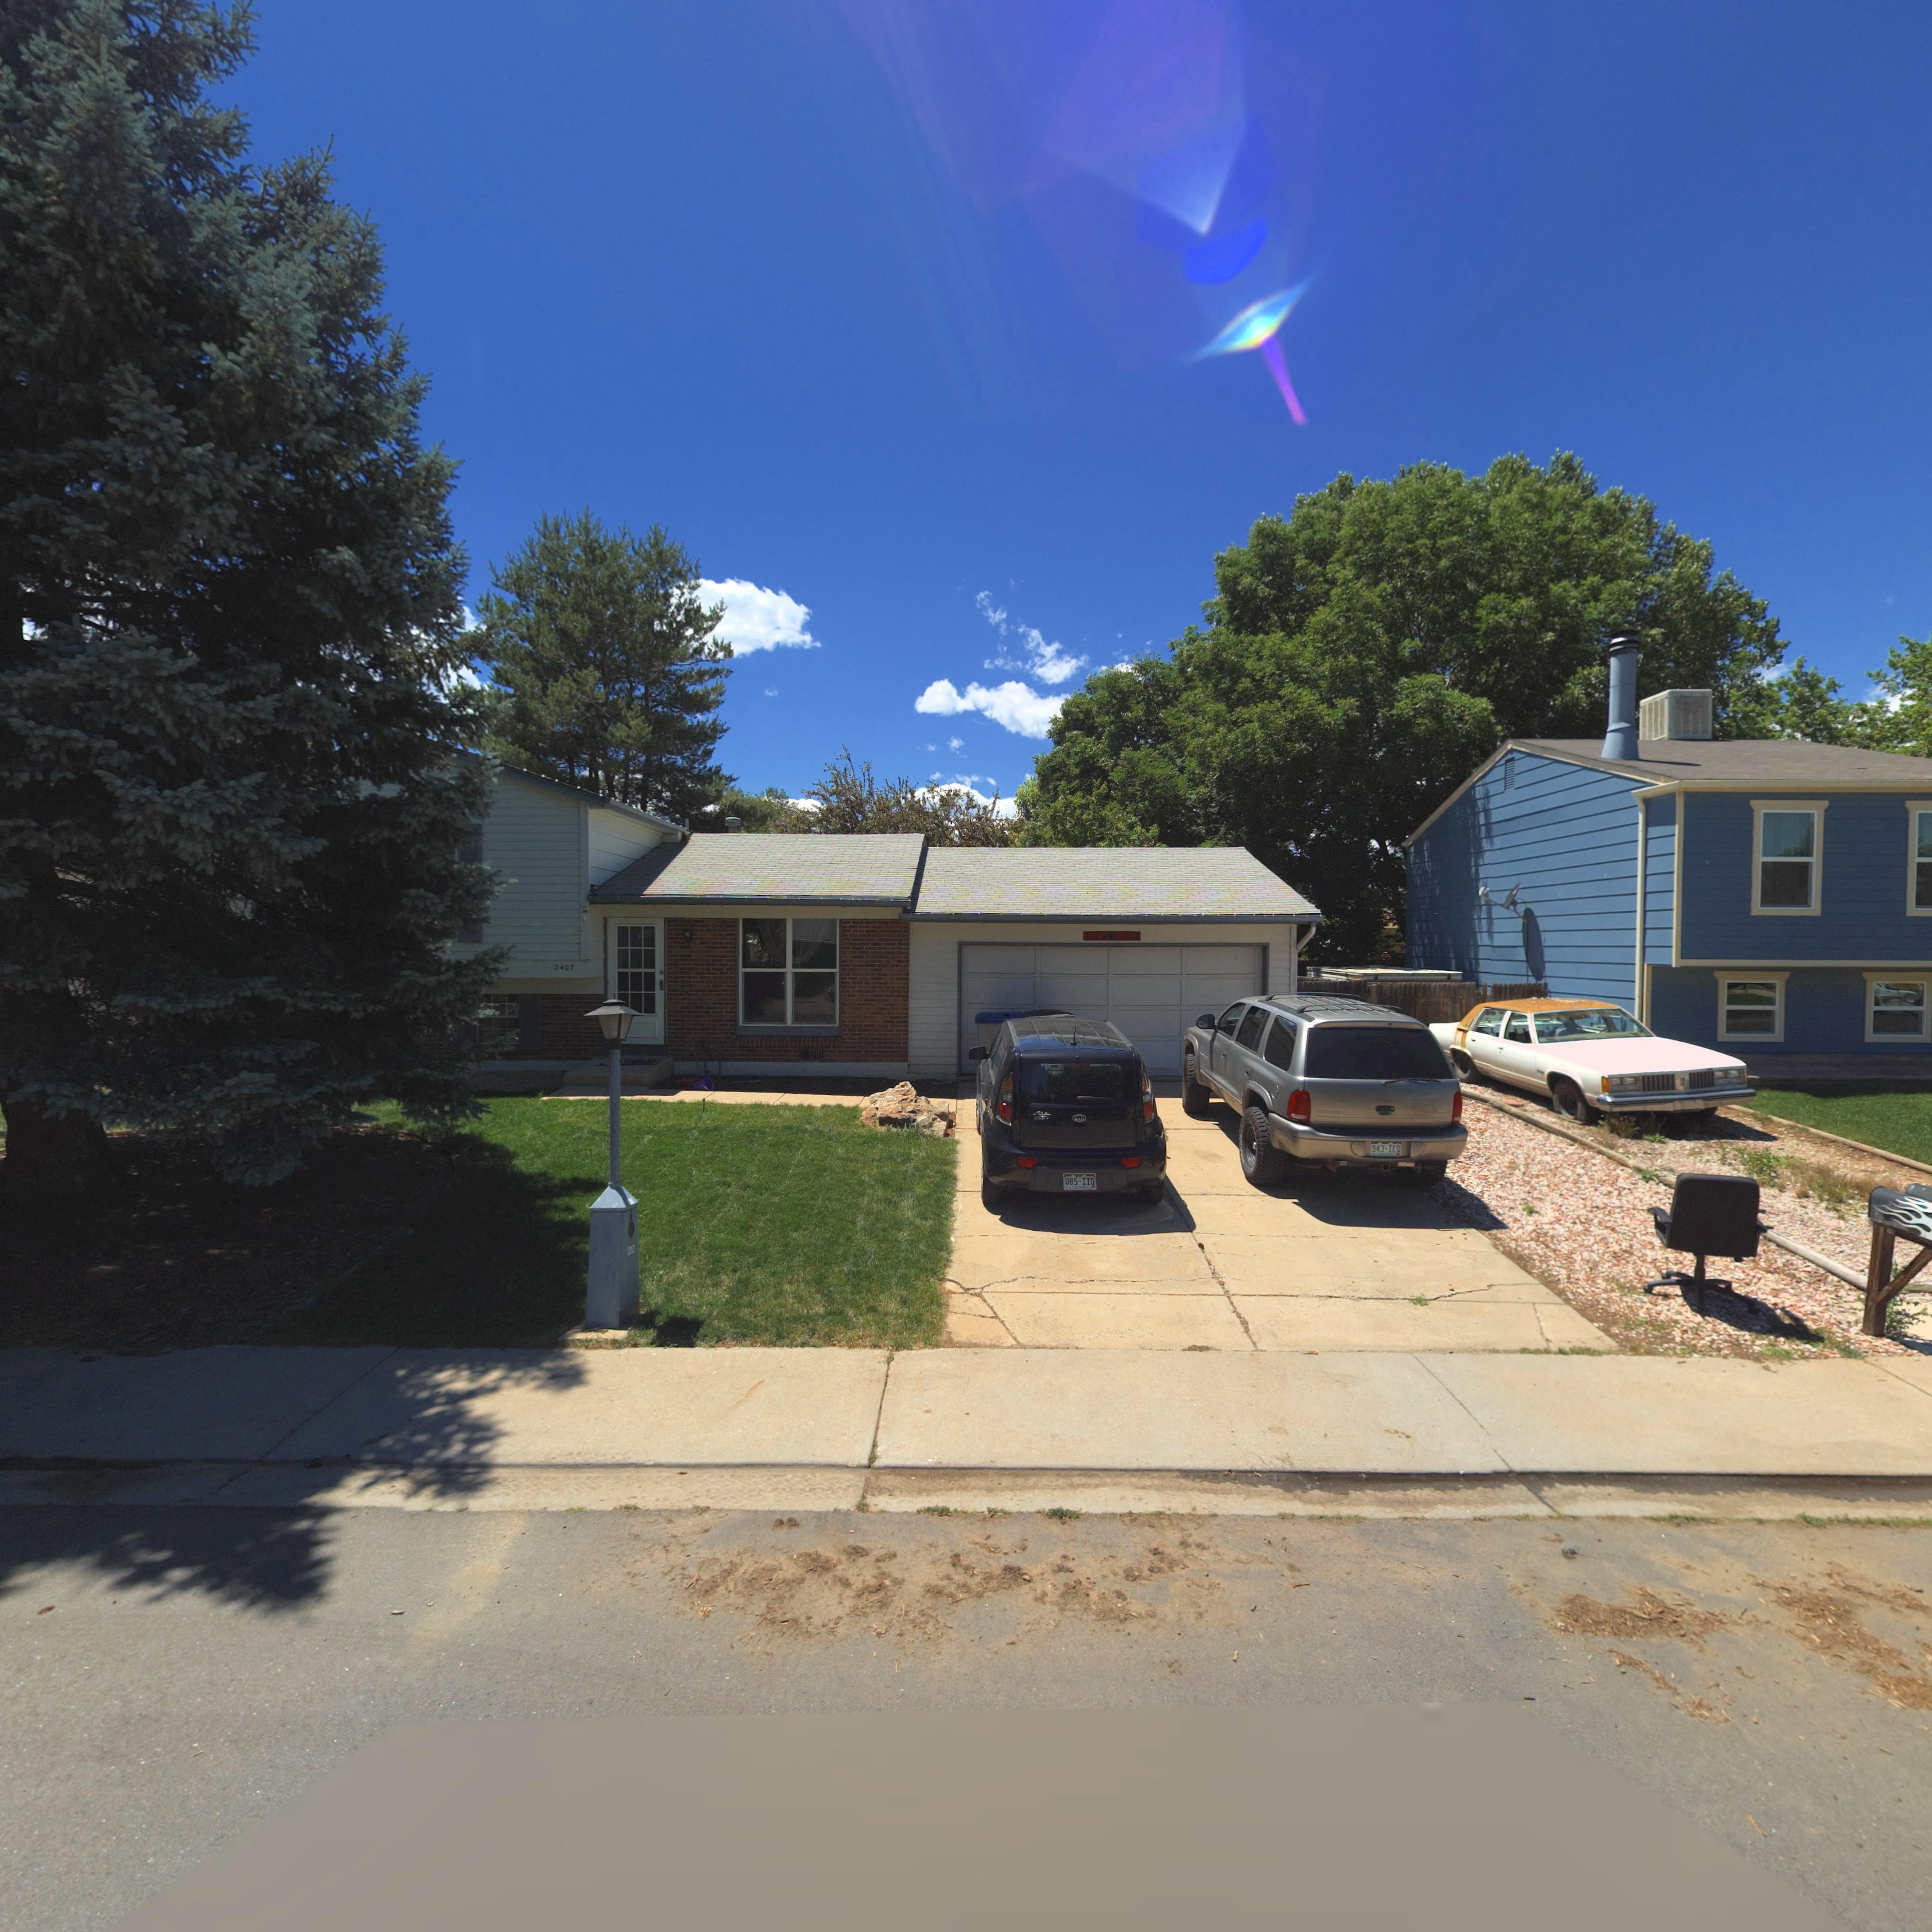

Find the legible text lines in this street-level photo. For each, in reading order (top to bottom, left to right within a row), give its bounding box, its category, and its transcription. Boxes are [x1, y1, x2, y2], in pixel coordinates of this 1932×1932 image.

[553, 964, 575, 971] StreetNumber: 2407